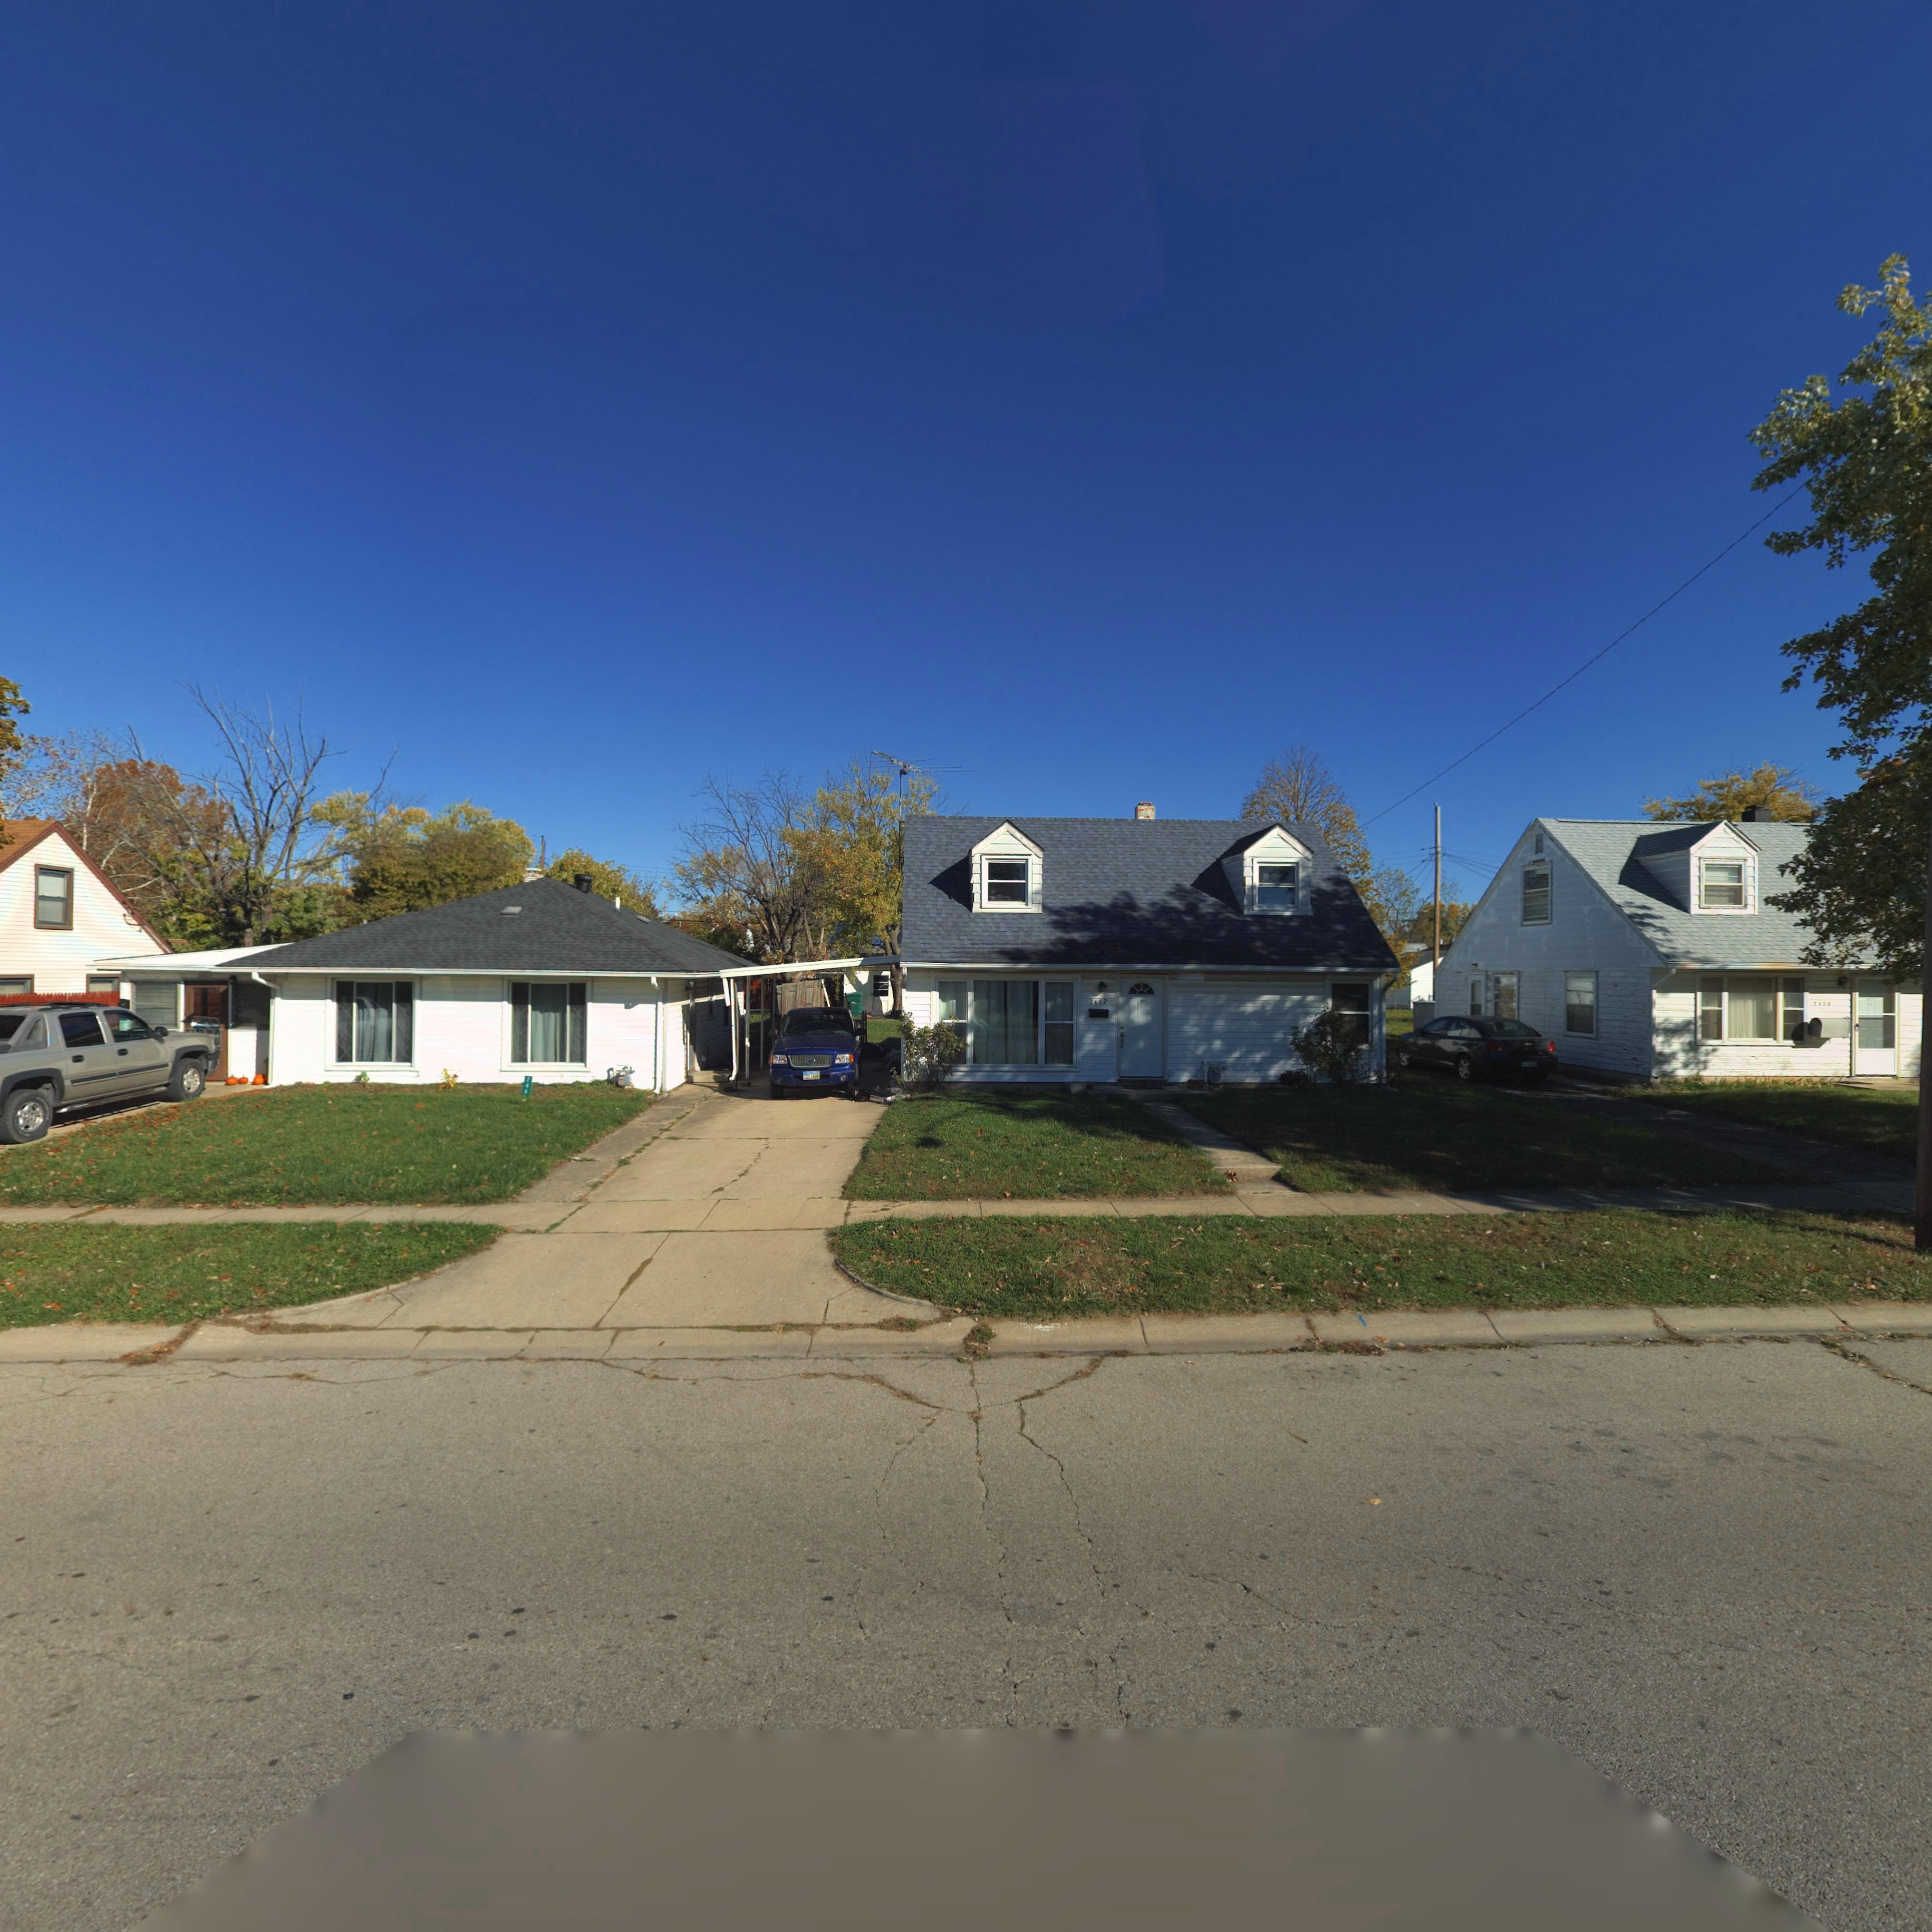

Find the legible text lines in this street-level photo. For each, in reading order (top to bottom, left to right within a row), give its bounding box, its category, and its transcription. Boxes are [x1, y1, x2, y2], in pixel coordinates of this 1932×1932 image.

[1089, 998, 1107, 1005] StreetNumber: 2457
[522, 1075, 532, 1095] StreetNumber: 246